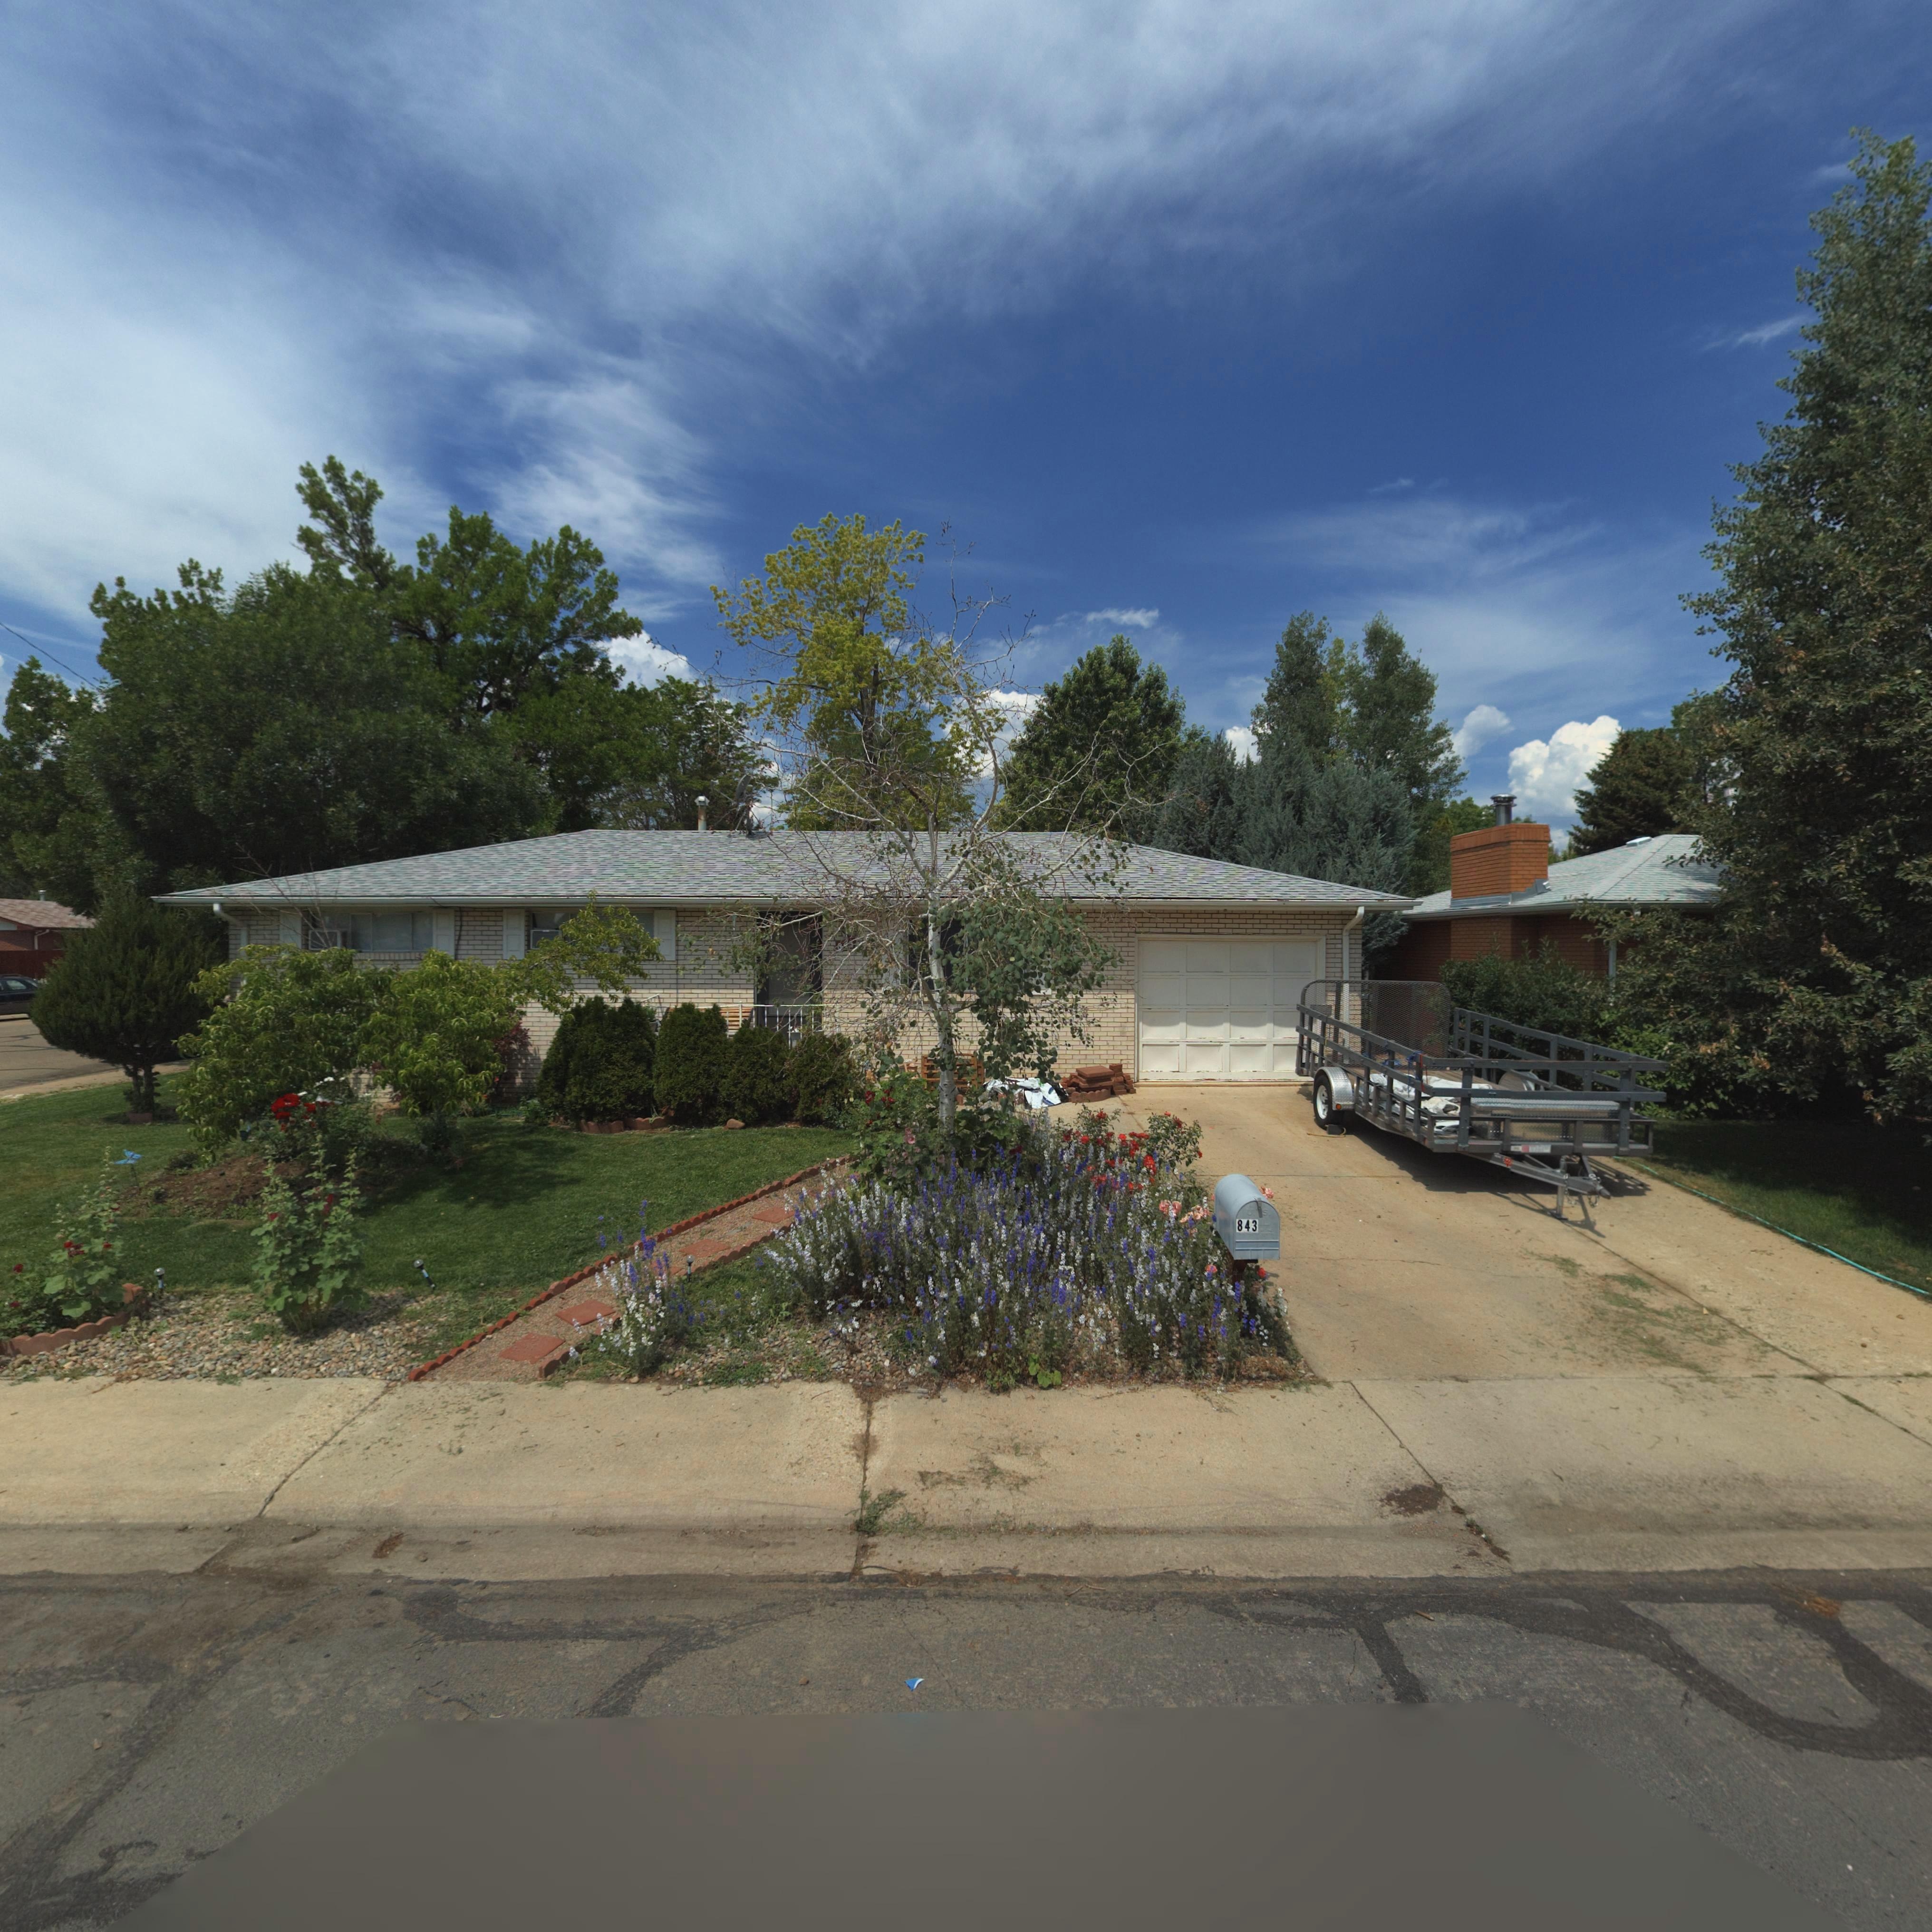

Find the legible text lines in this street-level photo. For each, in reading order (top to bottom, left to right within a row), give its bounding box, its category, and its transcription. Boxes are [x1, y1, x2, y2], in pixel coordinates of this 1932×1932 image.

[1236, 1219, 1257, 1232] StreetNumber: 843